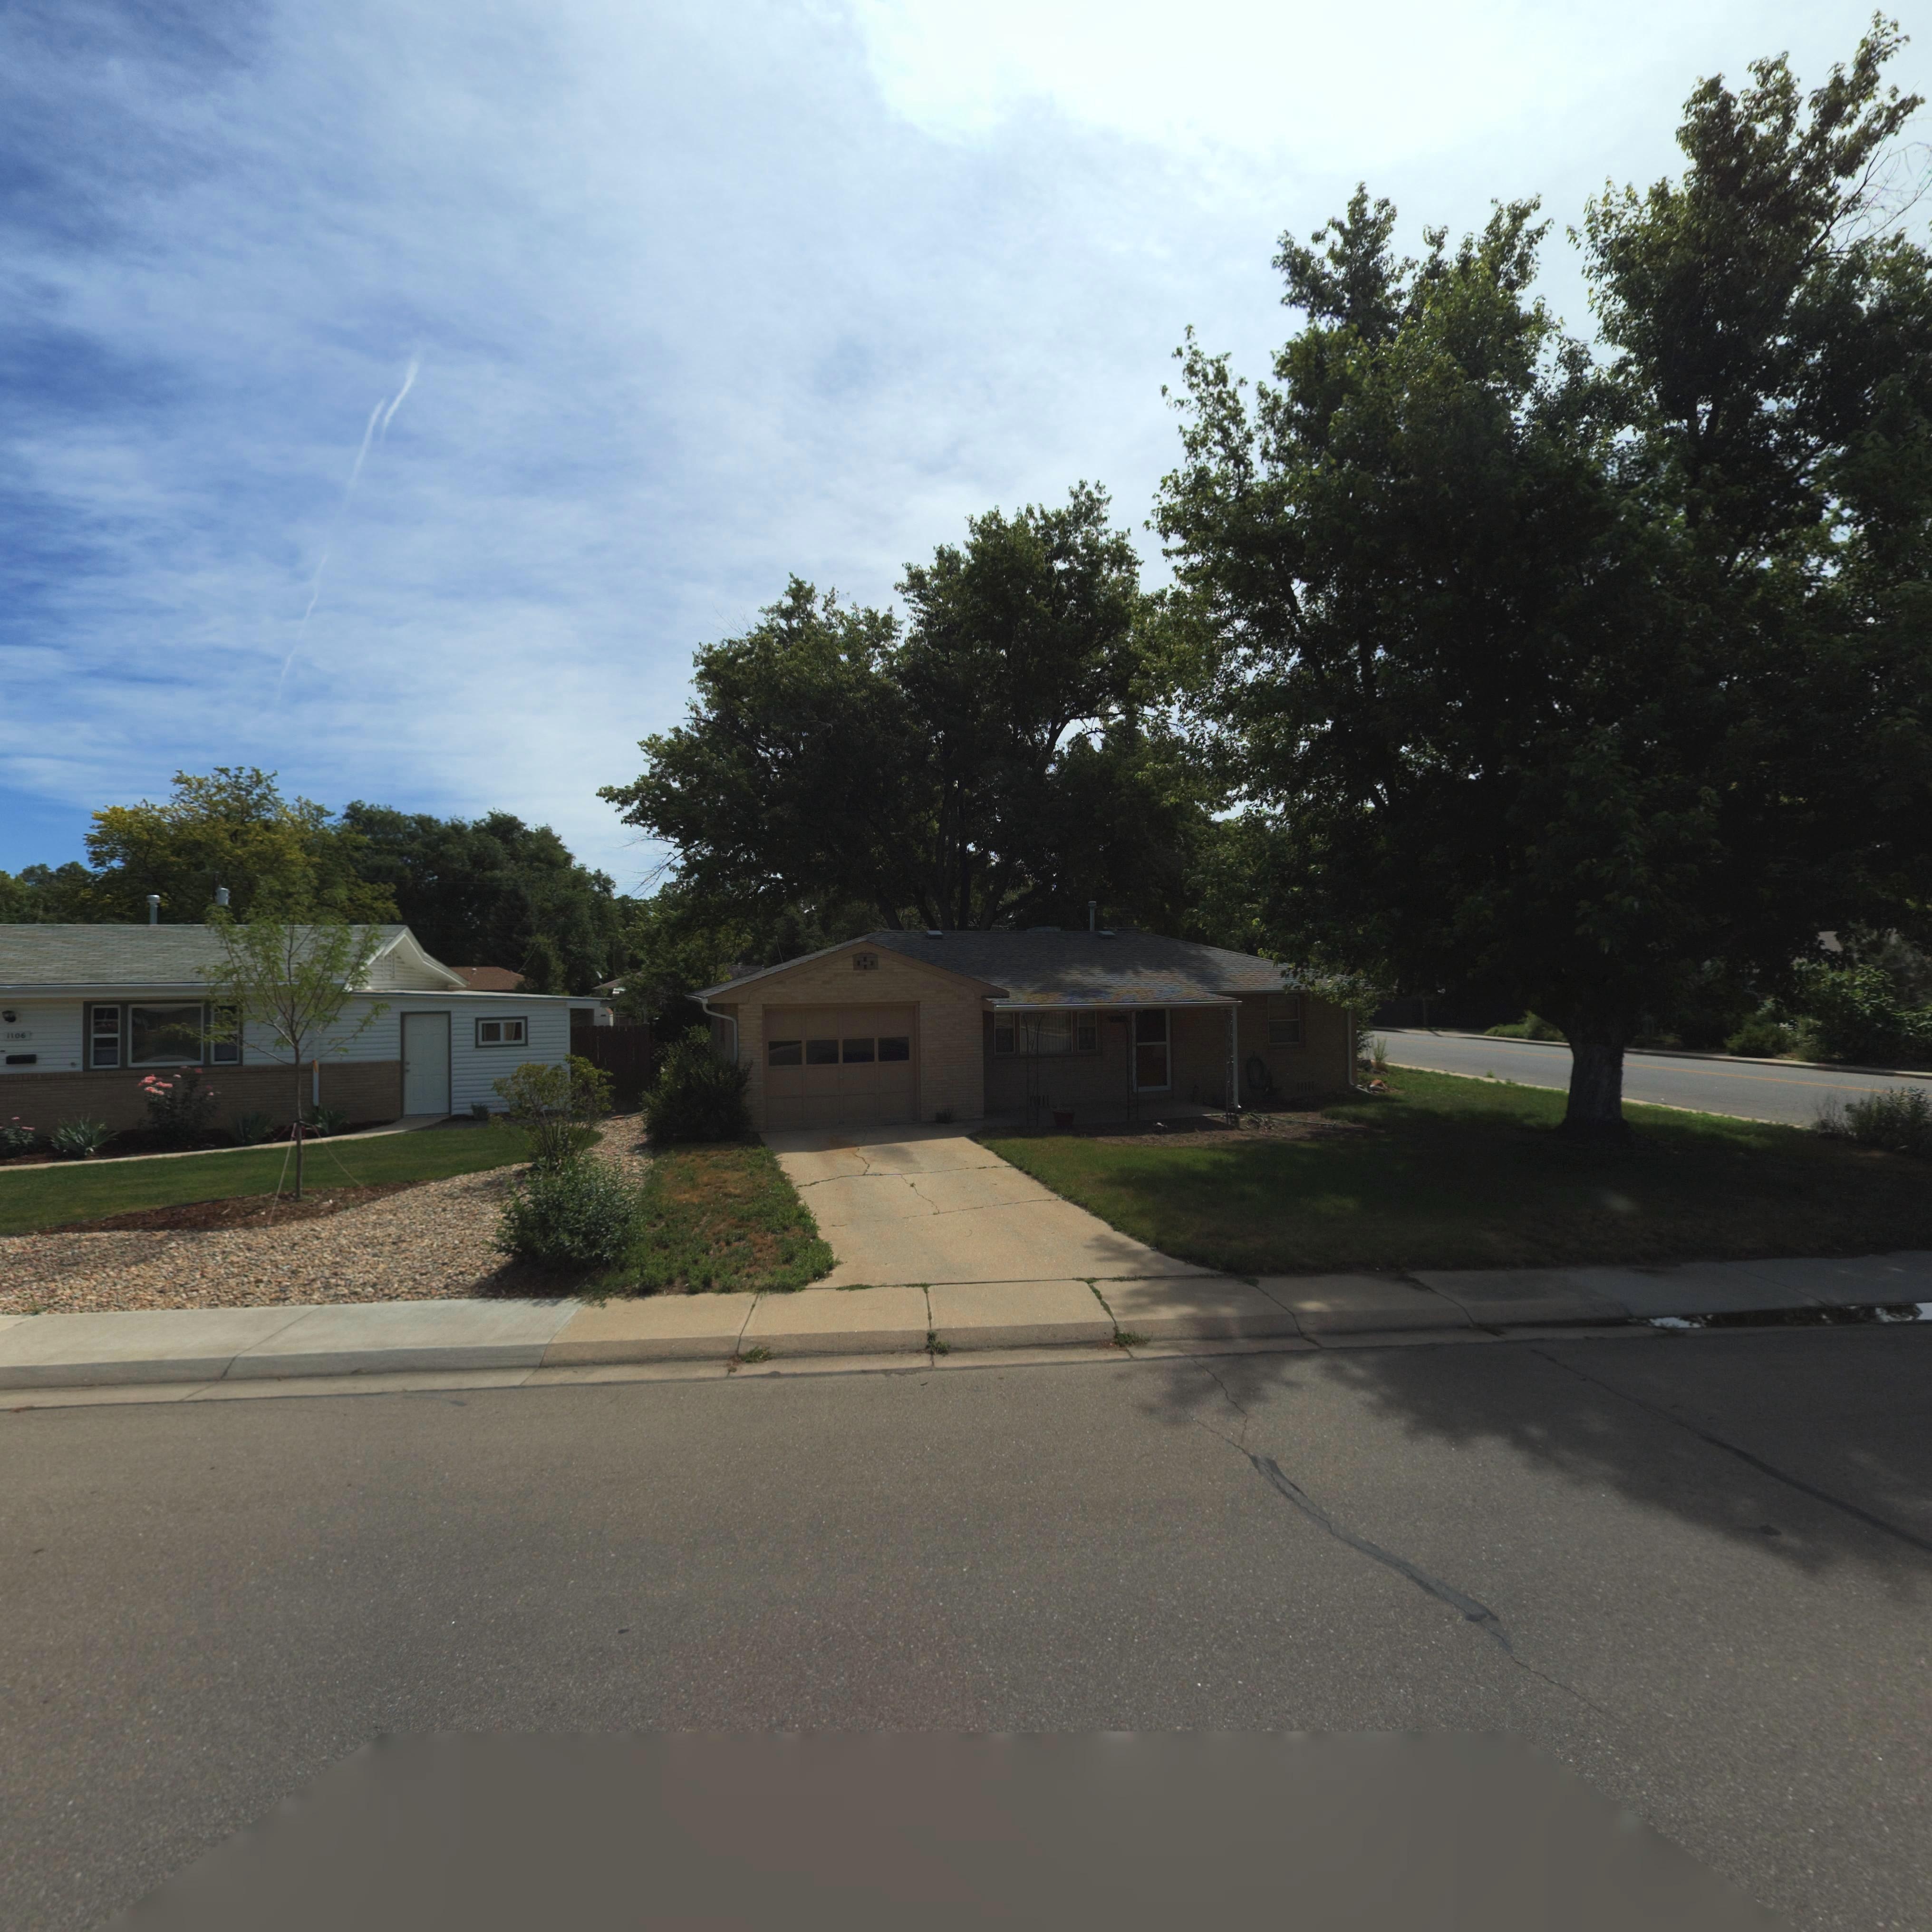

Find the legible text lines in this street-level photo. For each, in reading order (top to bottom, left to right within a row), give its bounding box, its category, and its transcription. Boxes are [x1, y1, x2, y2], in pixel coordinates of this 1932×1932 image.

[7, 1032, 26, 1039] StreetNumber: 1106